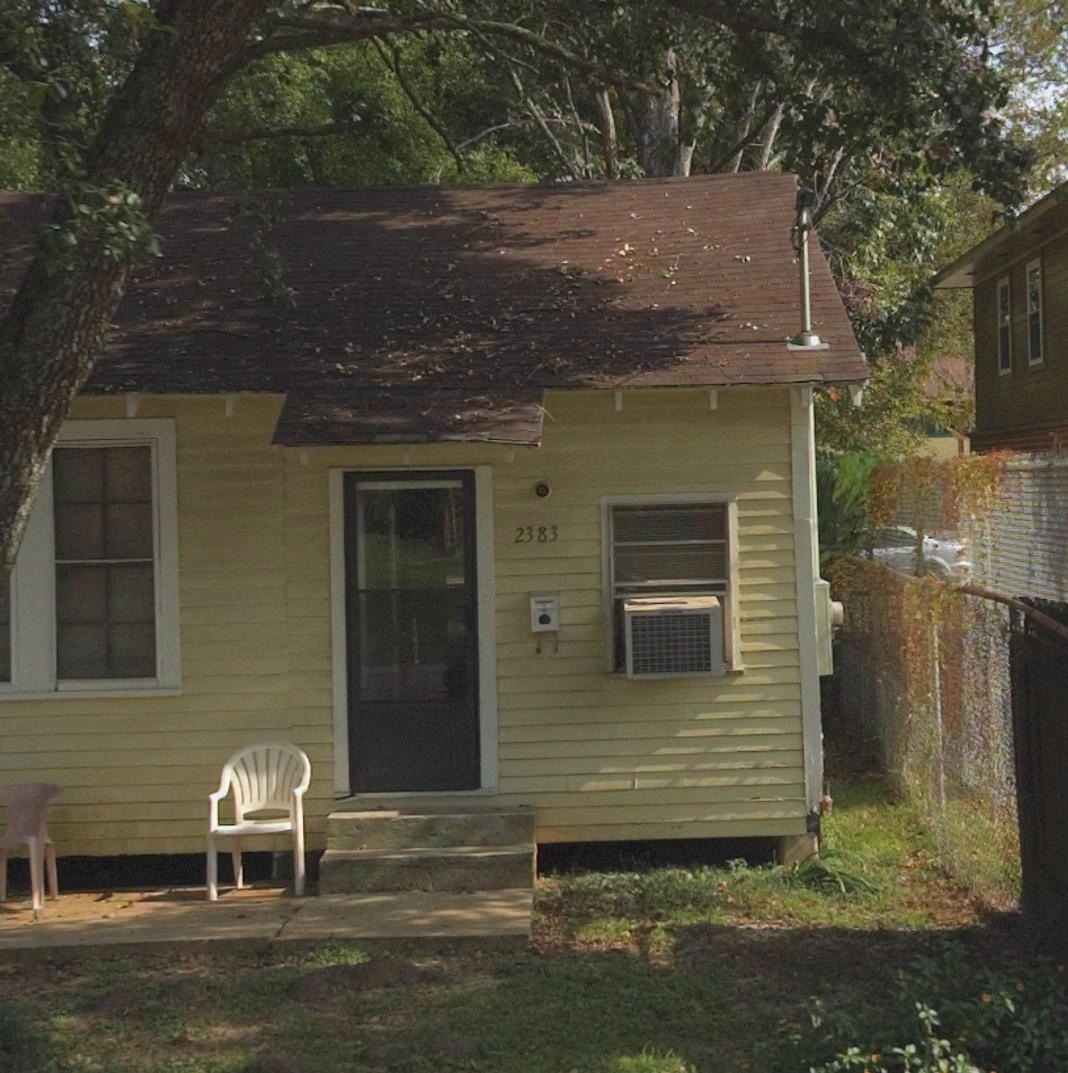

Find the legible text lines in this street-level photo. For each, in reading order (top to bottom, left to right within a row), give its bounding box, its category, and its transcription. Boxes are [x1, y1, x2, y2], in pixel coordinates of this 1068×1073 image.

[513, 522, 561, 545] StreetNumber: 2383